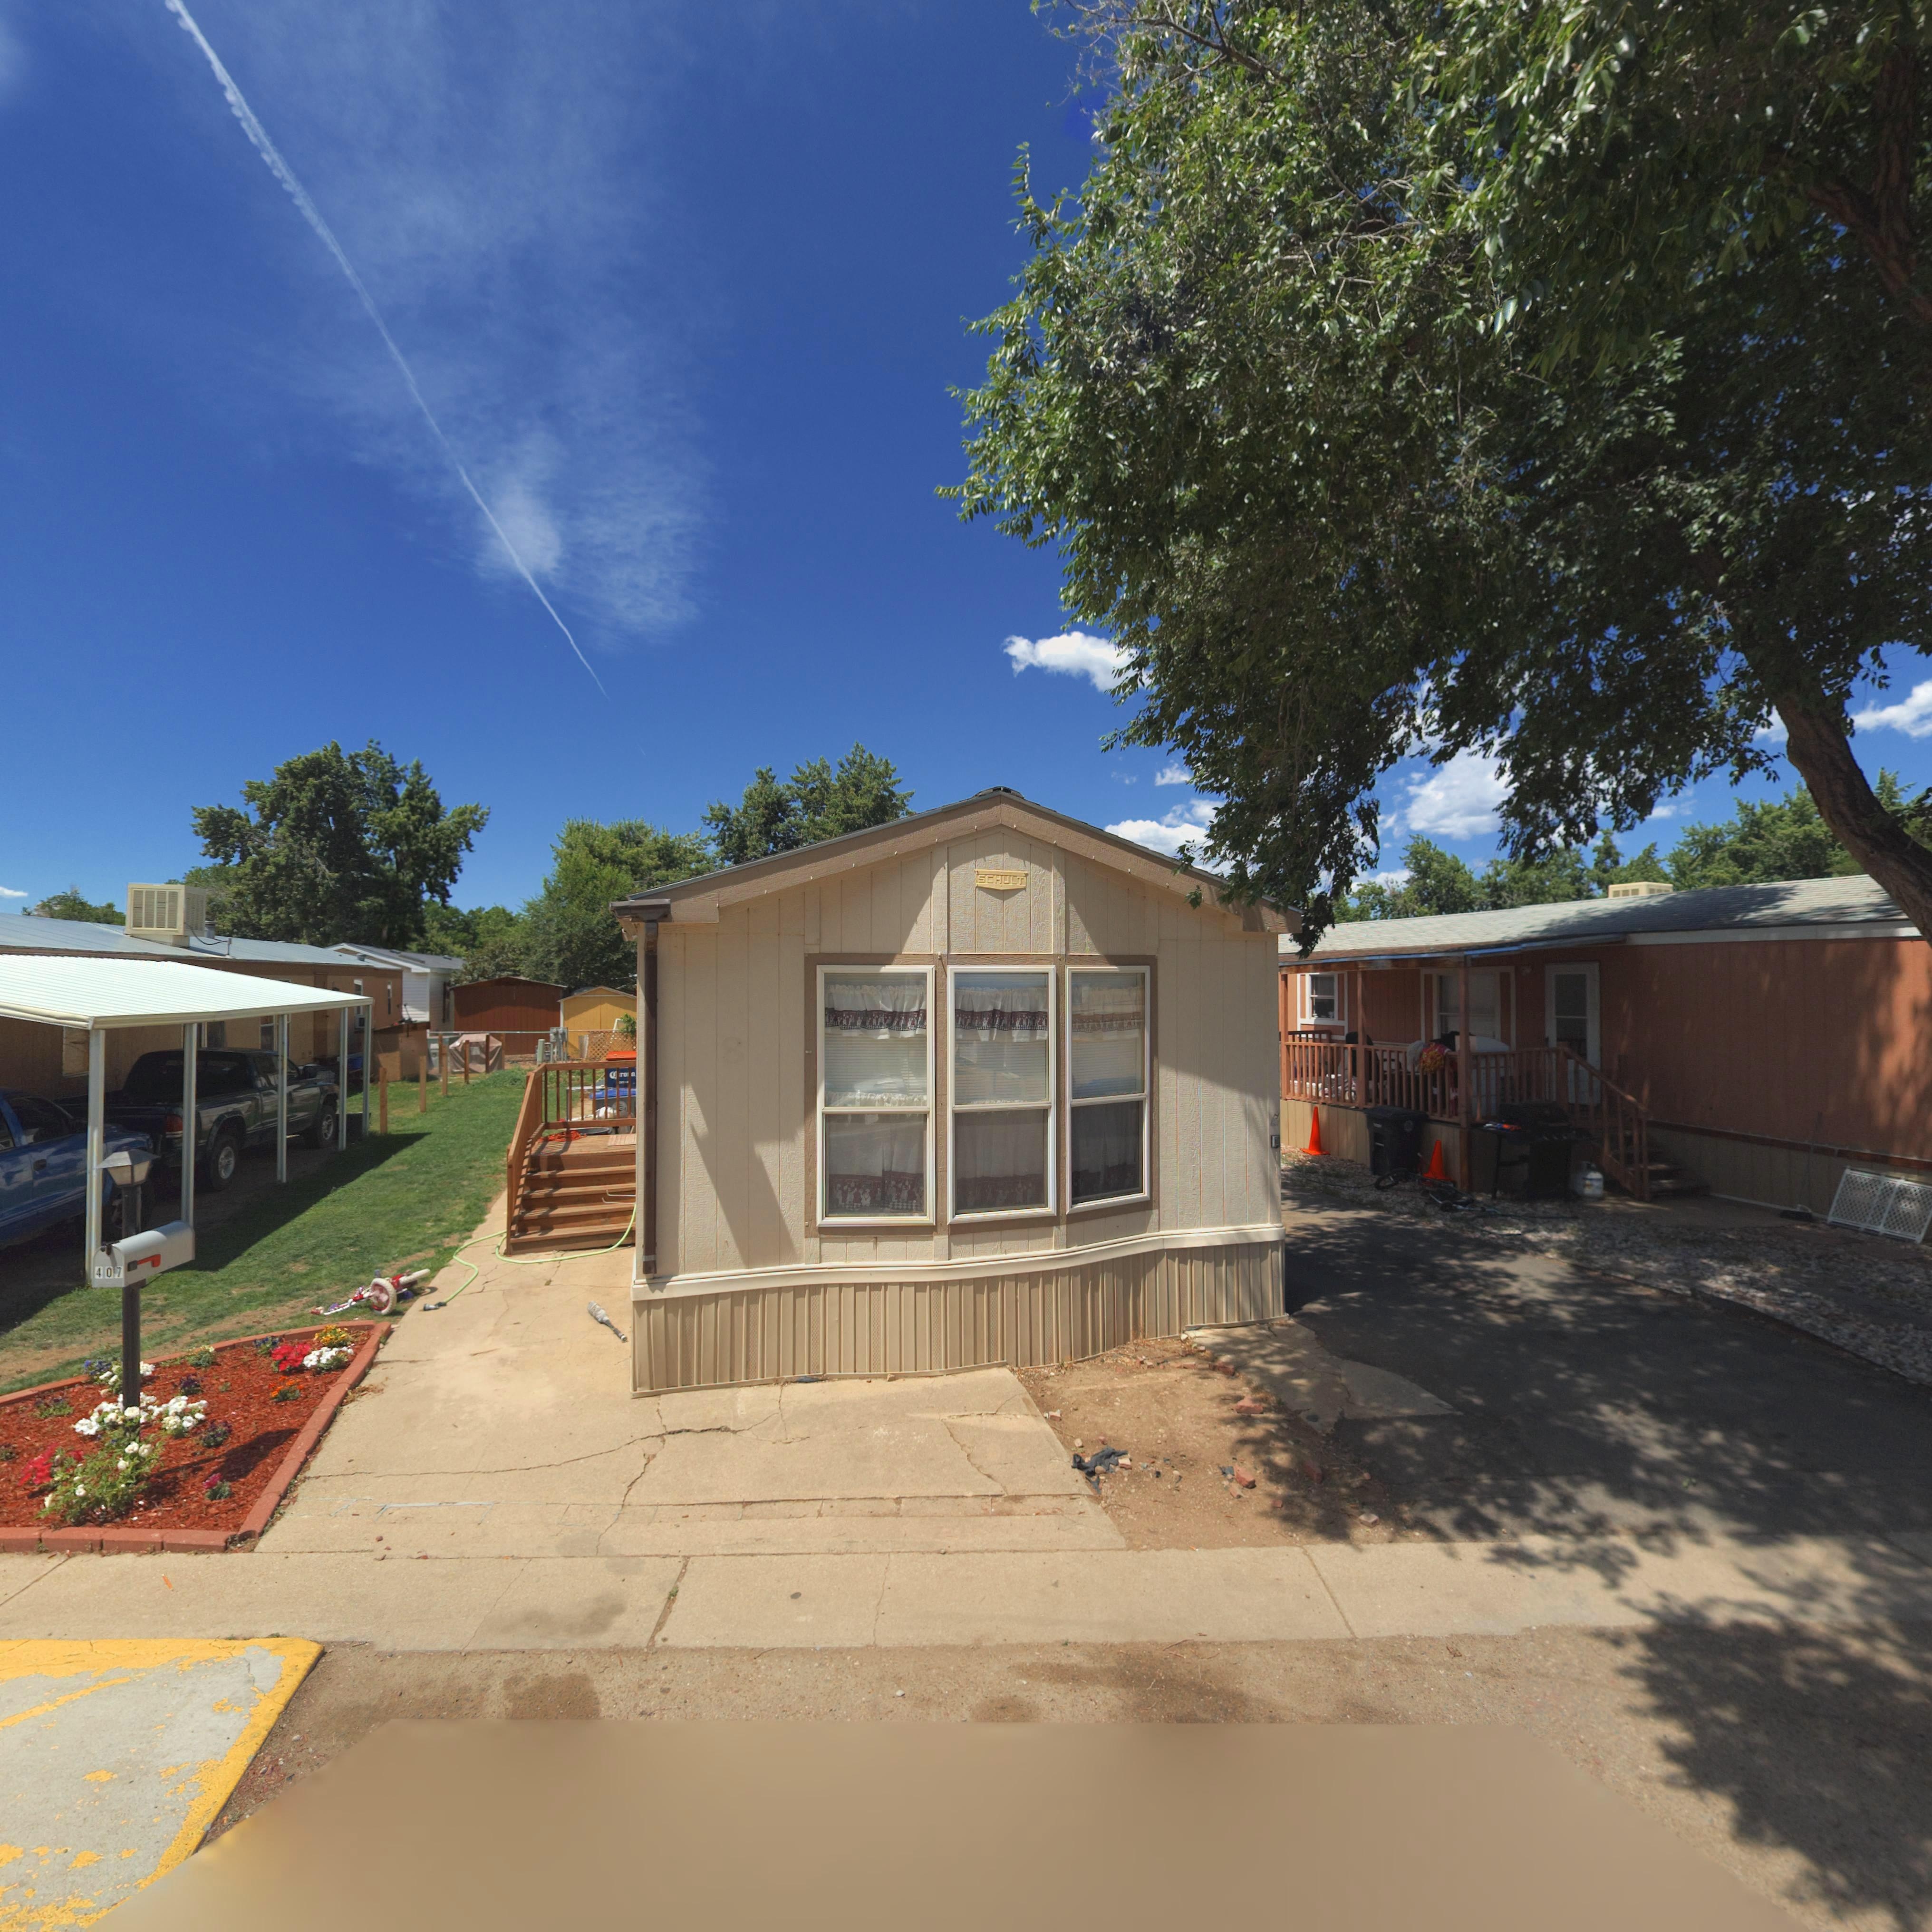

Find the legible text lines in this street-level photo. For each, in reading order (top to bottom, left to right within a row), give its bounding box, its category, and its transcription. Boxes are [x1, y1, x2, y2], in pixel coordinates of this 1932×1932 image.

[95, 1266, 124, 1279] StreetNumber: 407